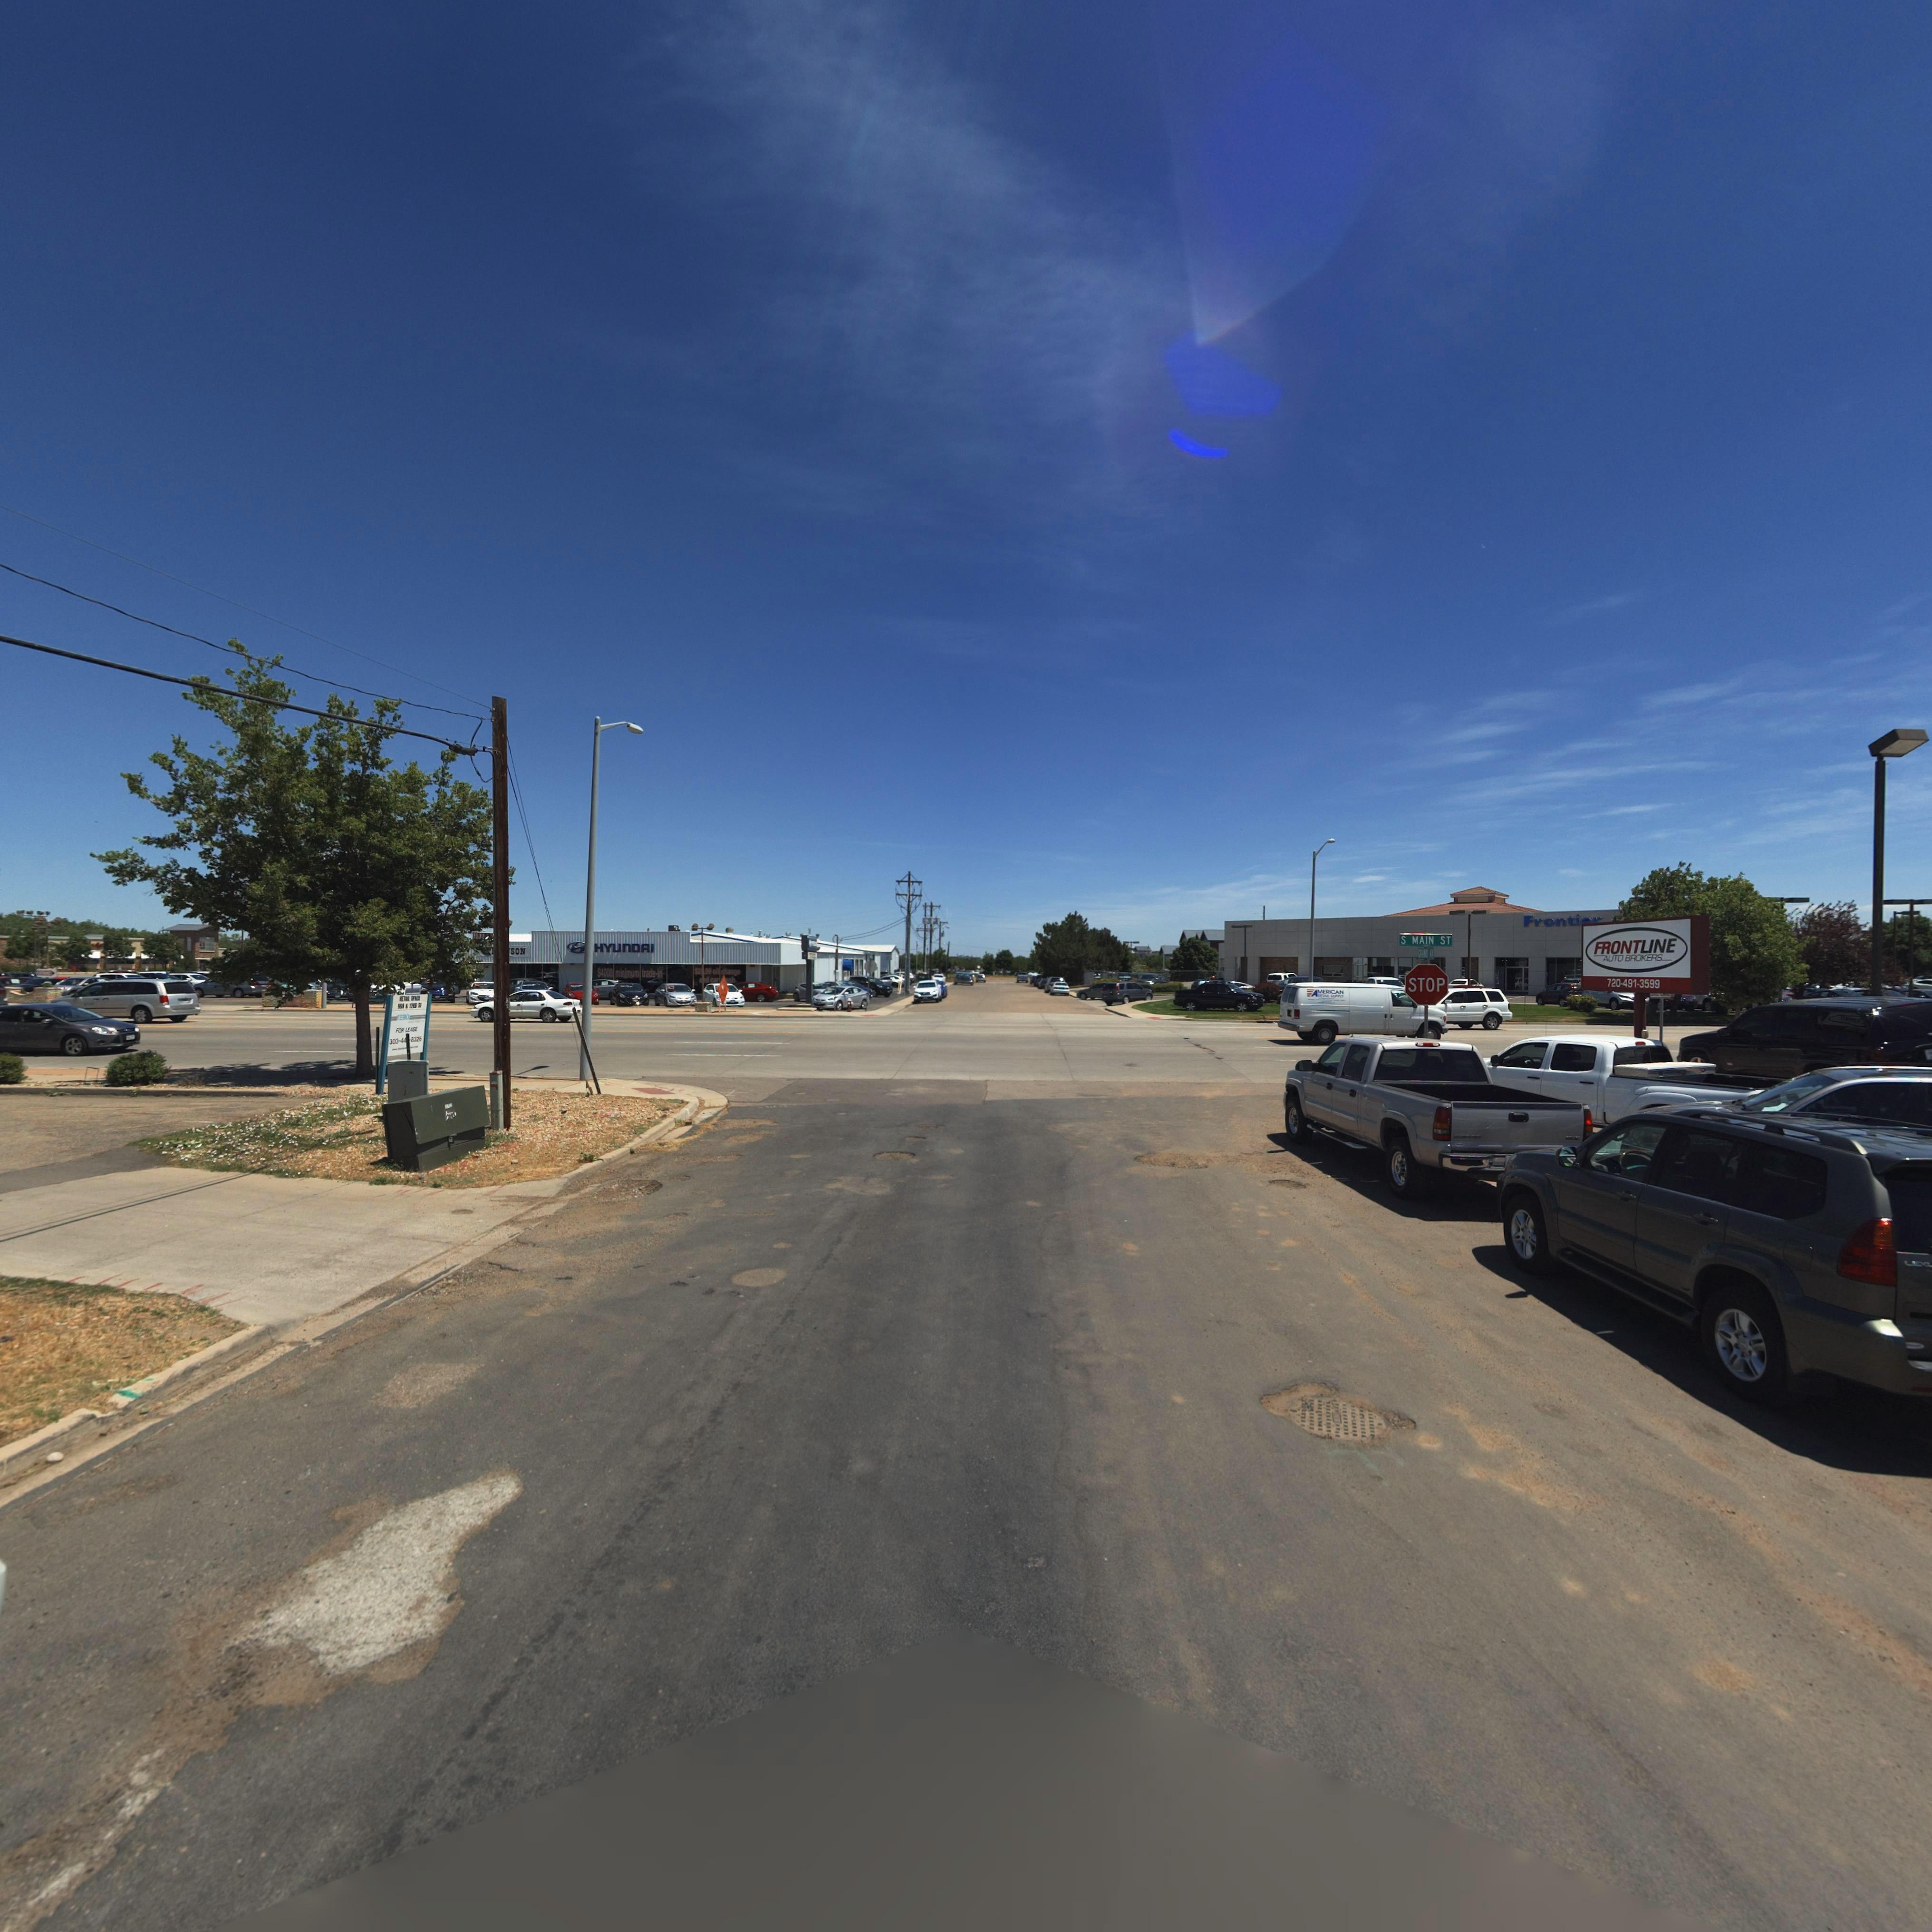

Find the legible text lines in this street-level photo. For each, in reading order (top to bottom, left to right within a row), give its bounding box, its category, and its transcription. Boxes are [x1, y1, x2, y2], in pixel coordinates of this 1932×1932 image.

[1523, 913, 1602, 927] BusinessName: Fronti**
[1400, 935, 1451, 945] StreetName: S MAIN ST
[510, 947, 526, 955] BusinessName: SON
[594, 943, 655, 953] BusinessName: HYUnDAI
[1418, 948, 1434, 957] StreetName: GRAND A*
[1602, 954, 1663, 962] BusinessName: AUTO BROKERS
[1593, 937, 1678, 955] BusinessName: FRONTLINE